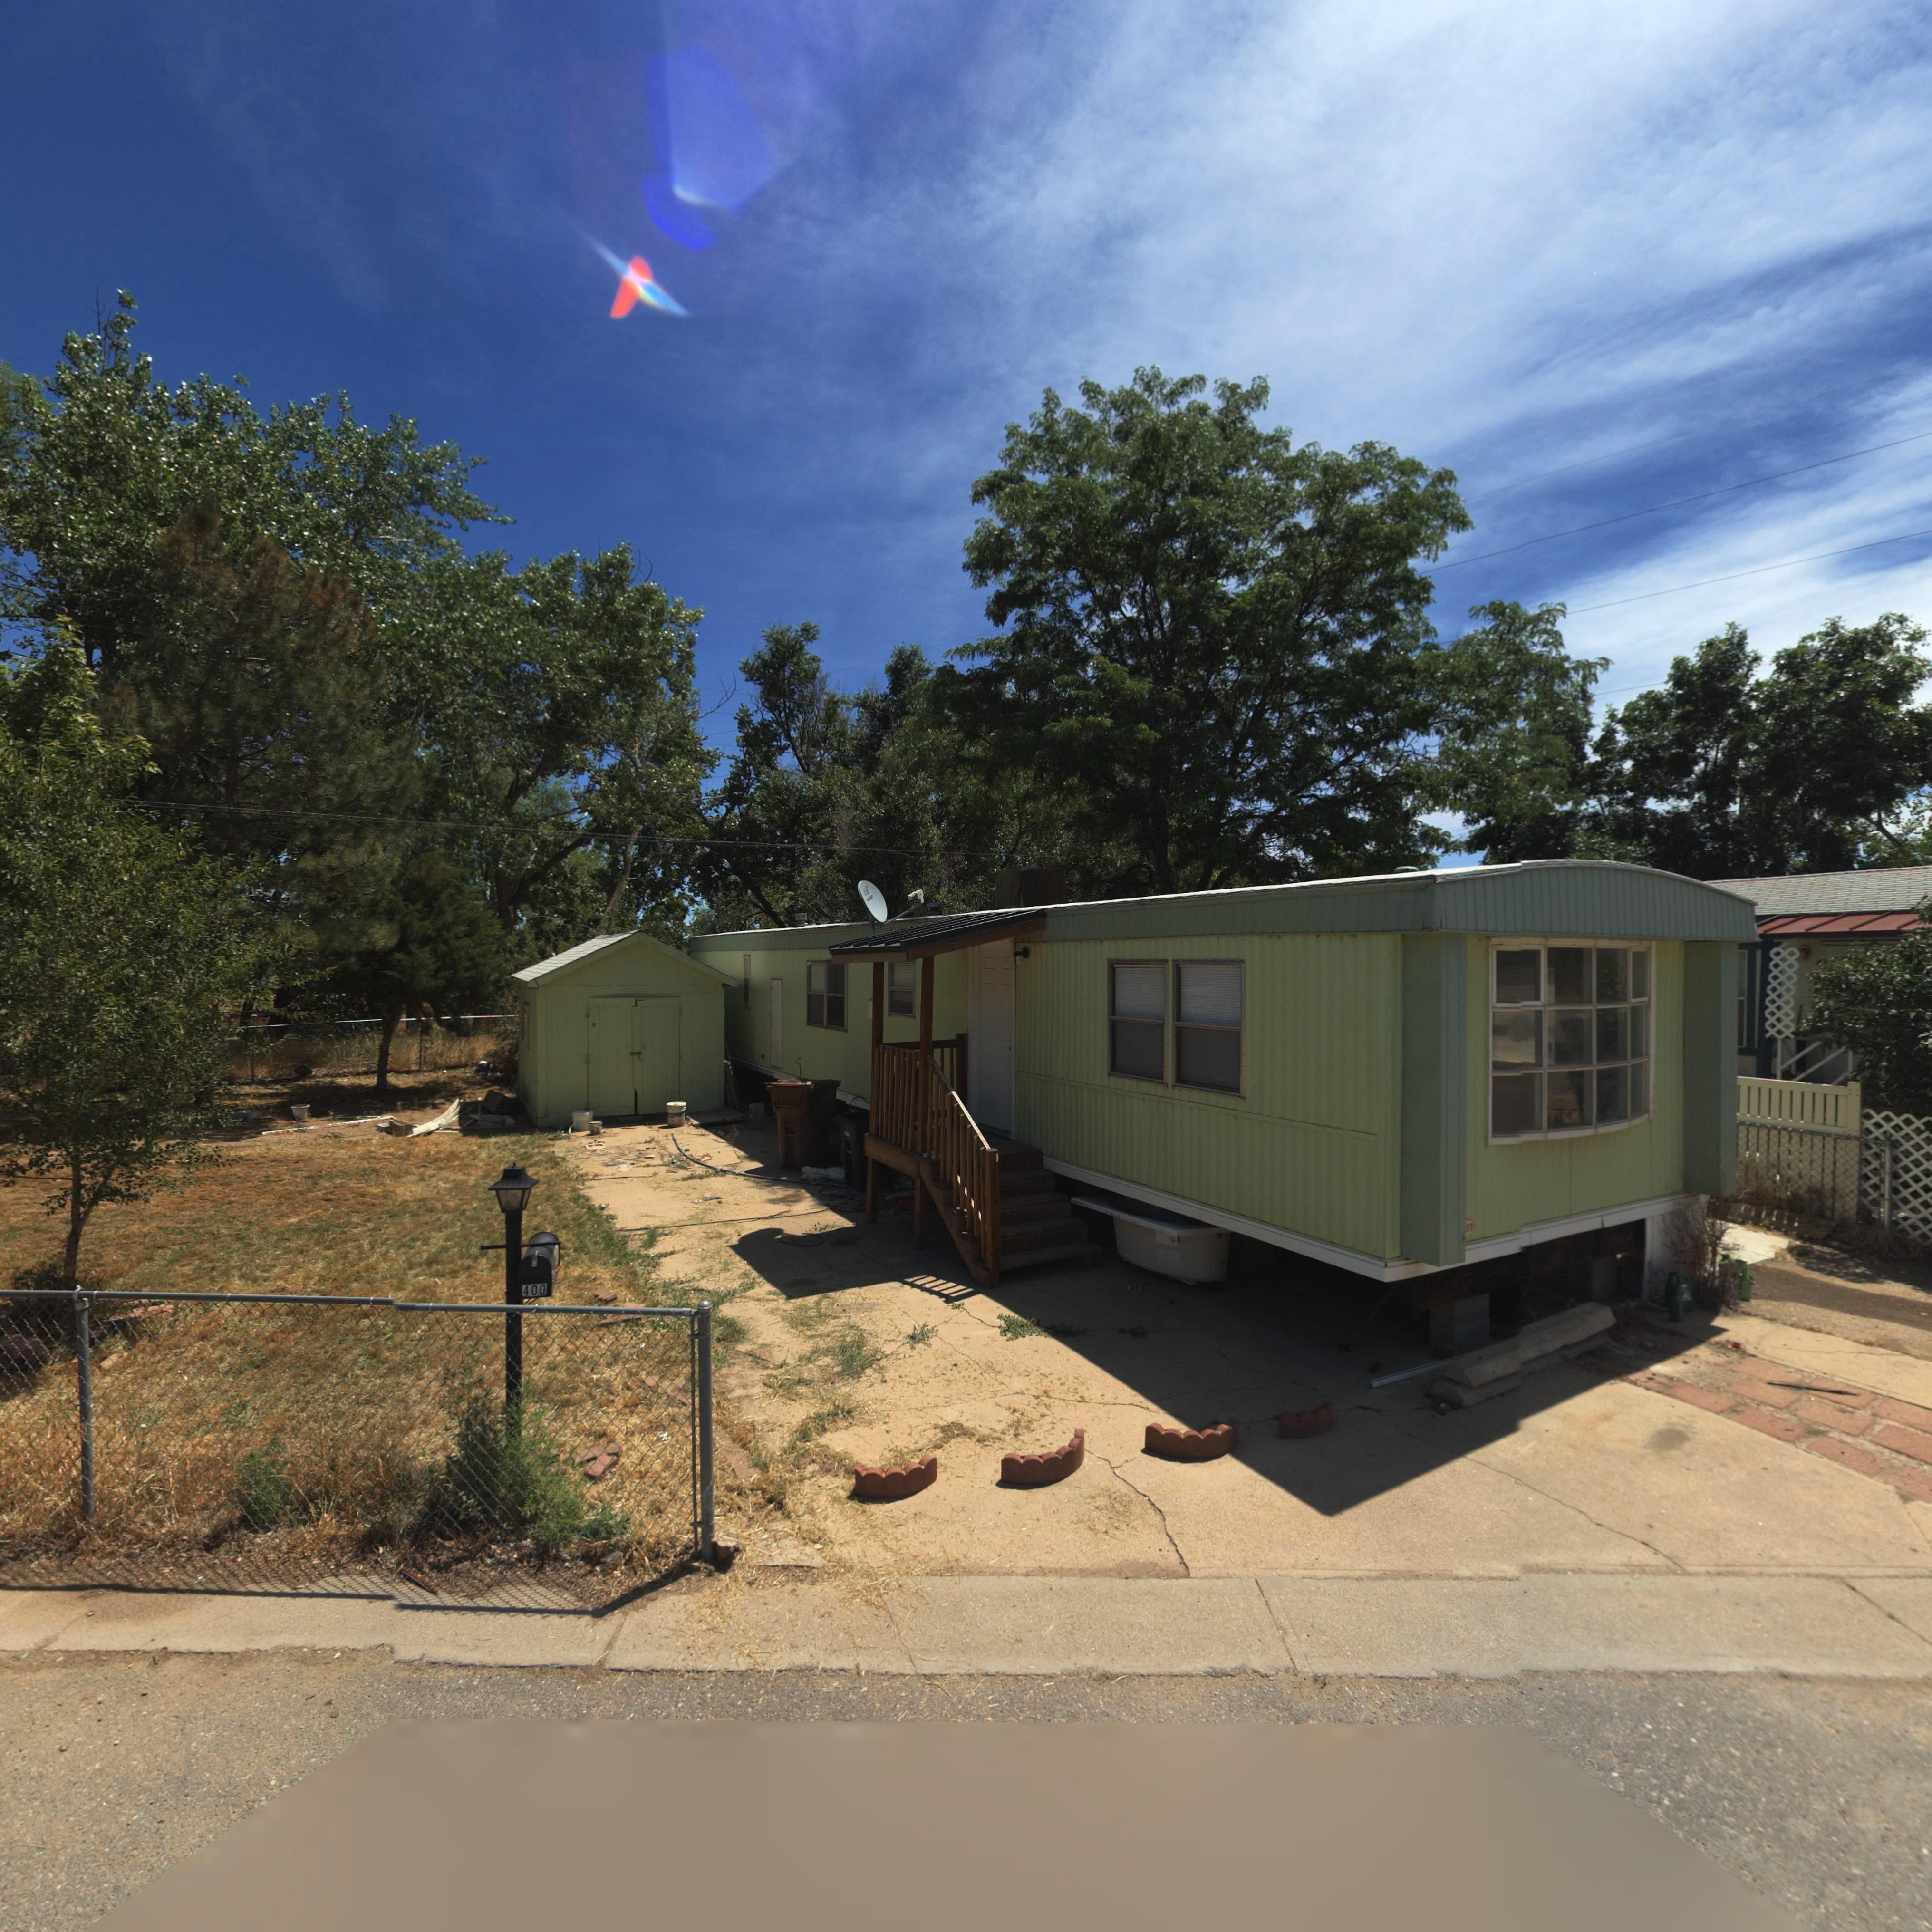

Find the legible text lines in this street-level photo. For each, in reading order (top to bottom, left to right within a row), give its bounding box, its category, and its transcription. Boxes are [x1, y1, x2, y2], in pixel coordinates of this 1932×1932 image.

[522, 1284, 546, 1296] StreetNumber: 400